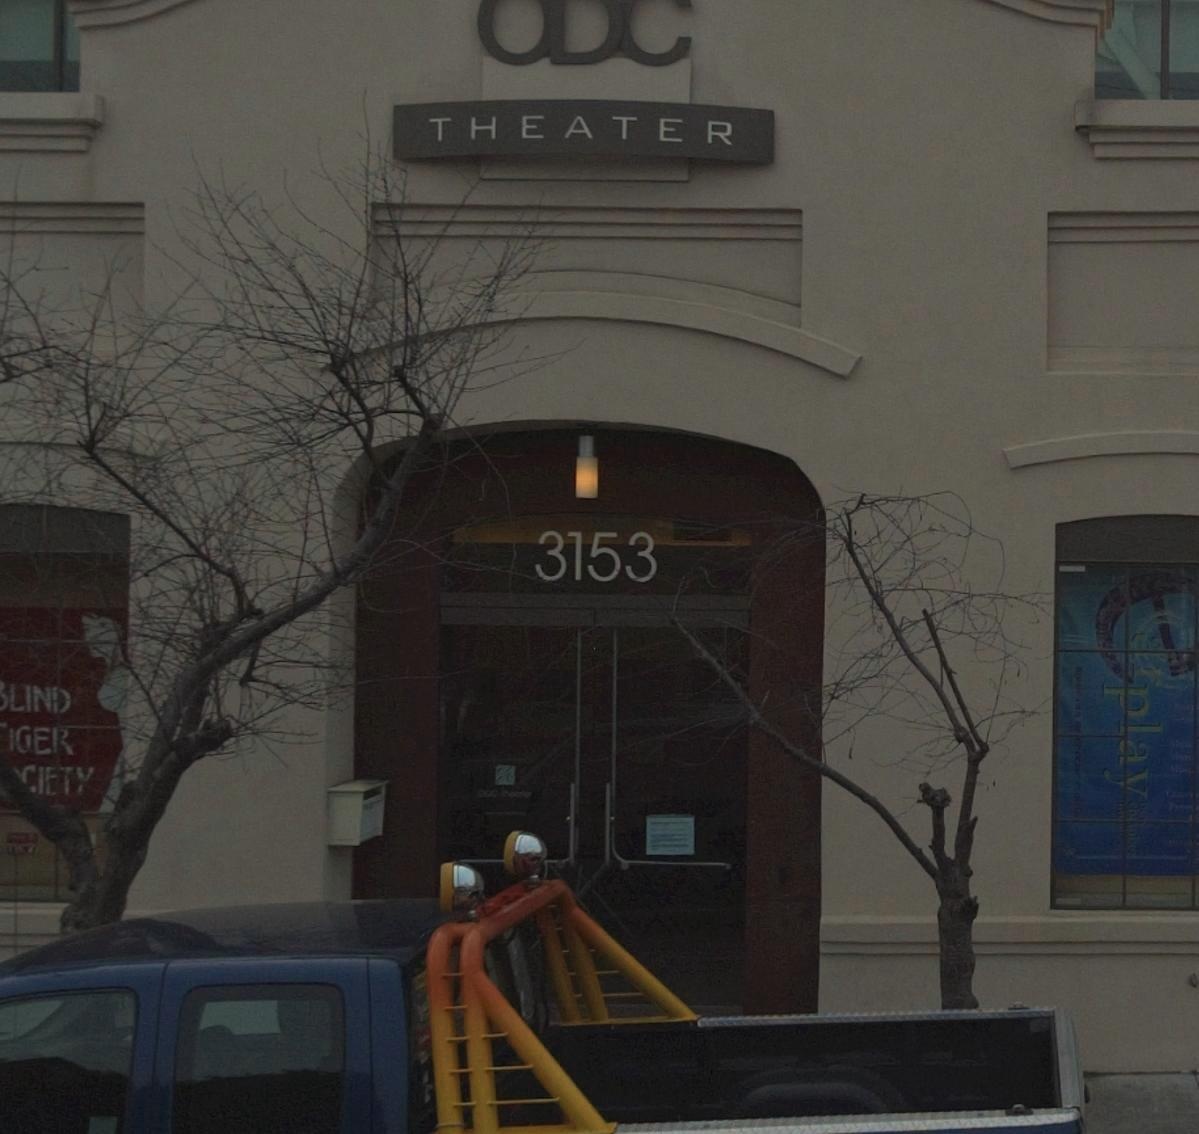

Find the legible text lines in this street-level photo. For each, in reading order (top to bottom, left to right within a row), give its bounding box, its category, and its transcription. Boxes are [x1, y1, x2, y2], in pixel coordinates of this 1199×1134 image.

[426, 114, 734, 146] BusinessName: THEATER
[532, 529, 659, 585] StreetNumber: 3153
[8, 680, 73, 715] None: LIND
[7, 725, 76, 756] None: IGER
[36, 764, 99, 795] None: IE**